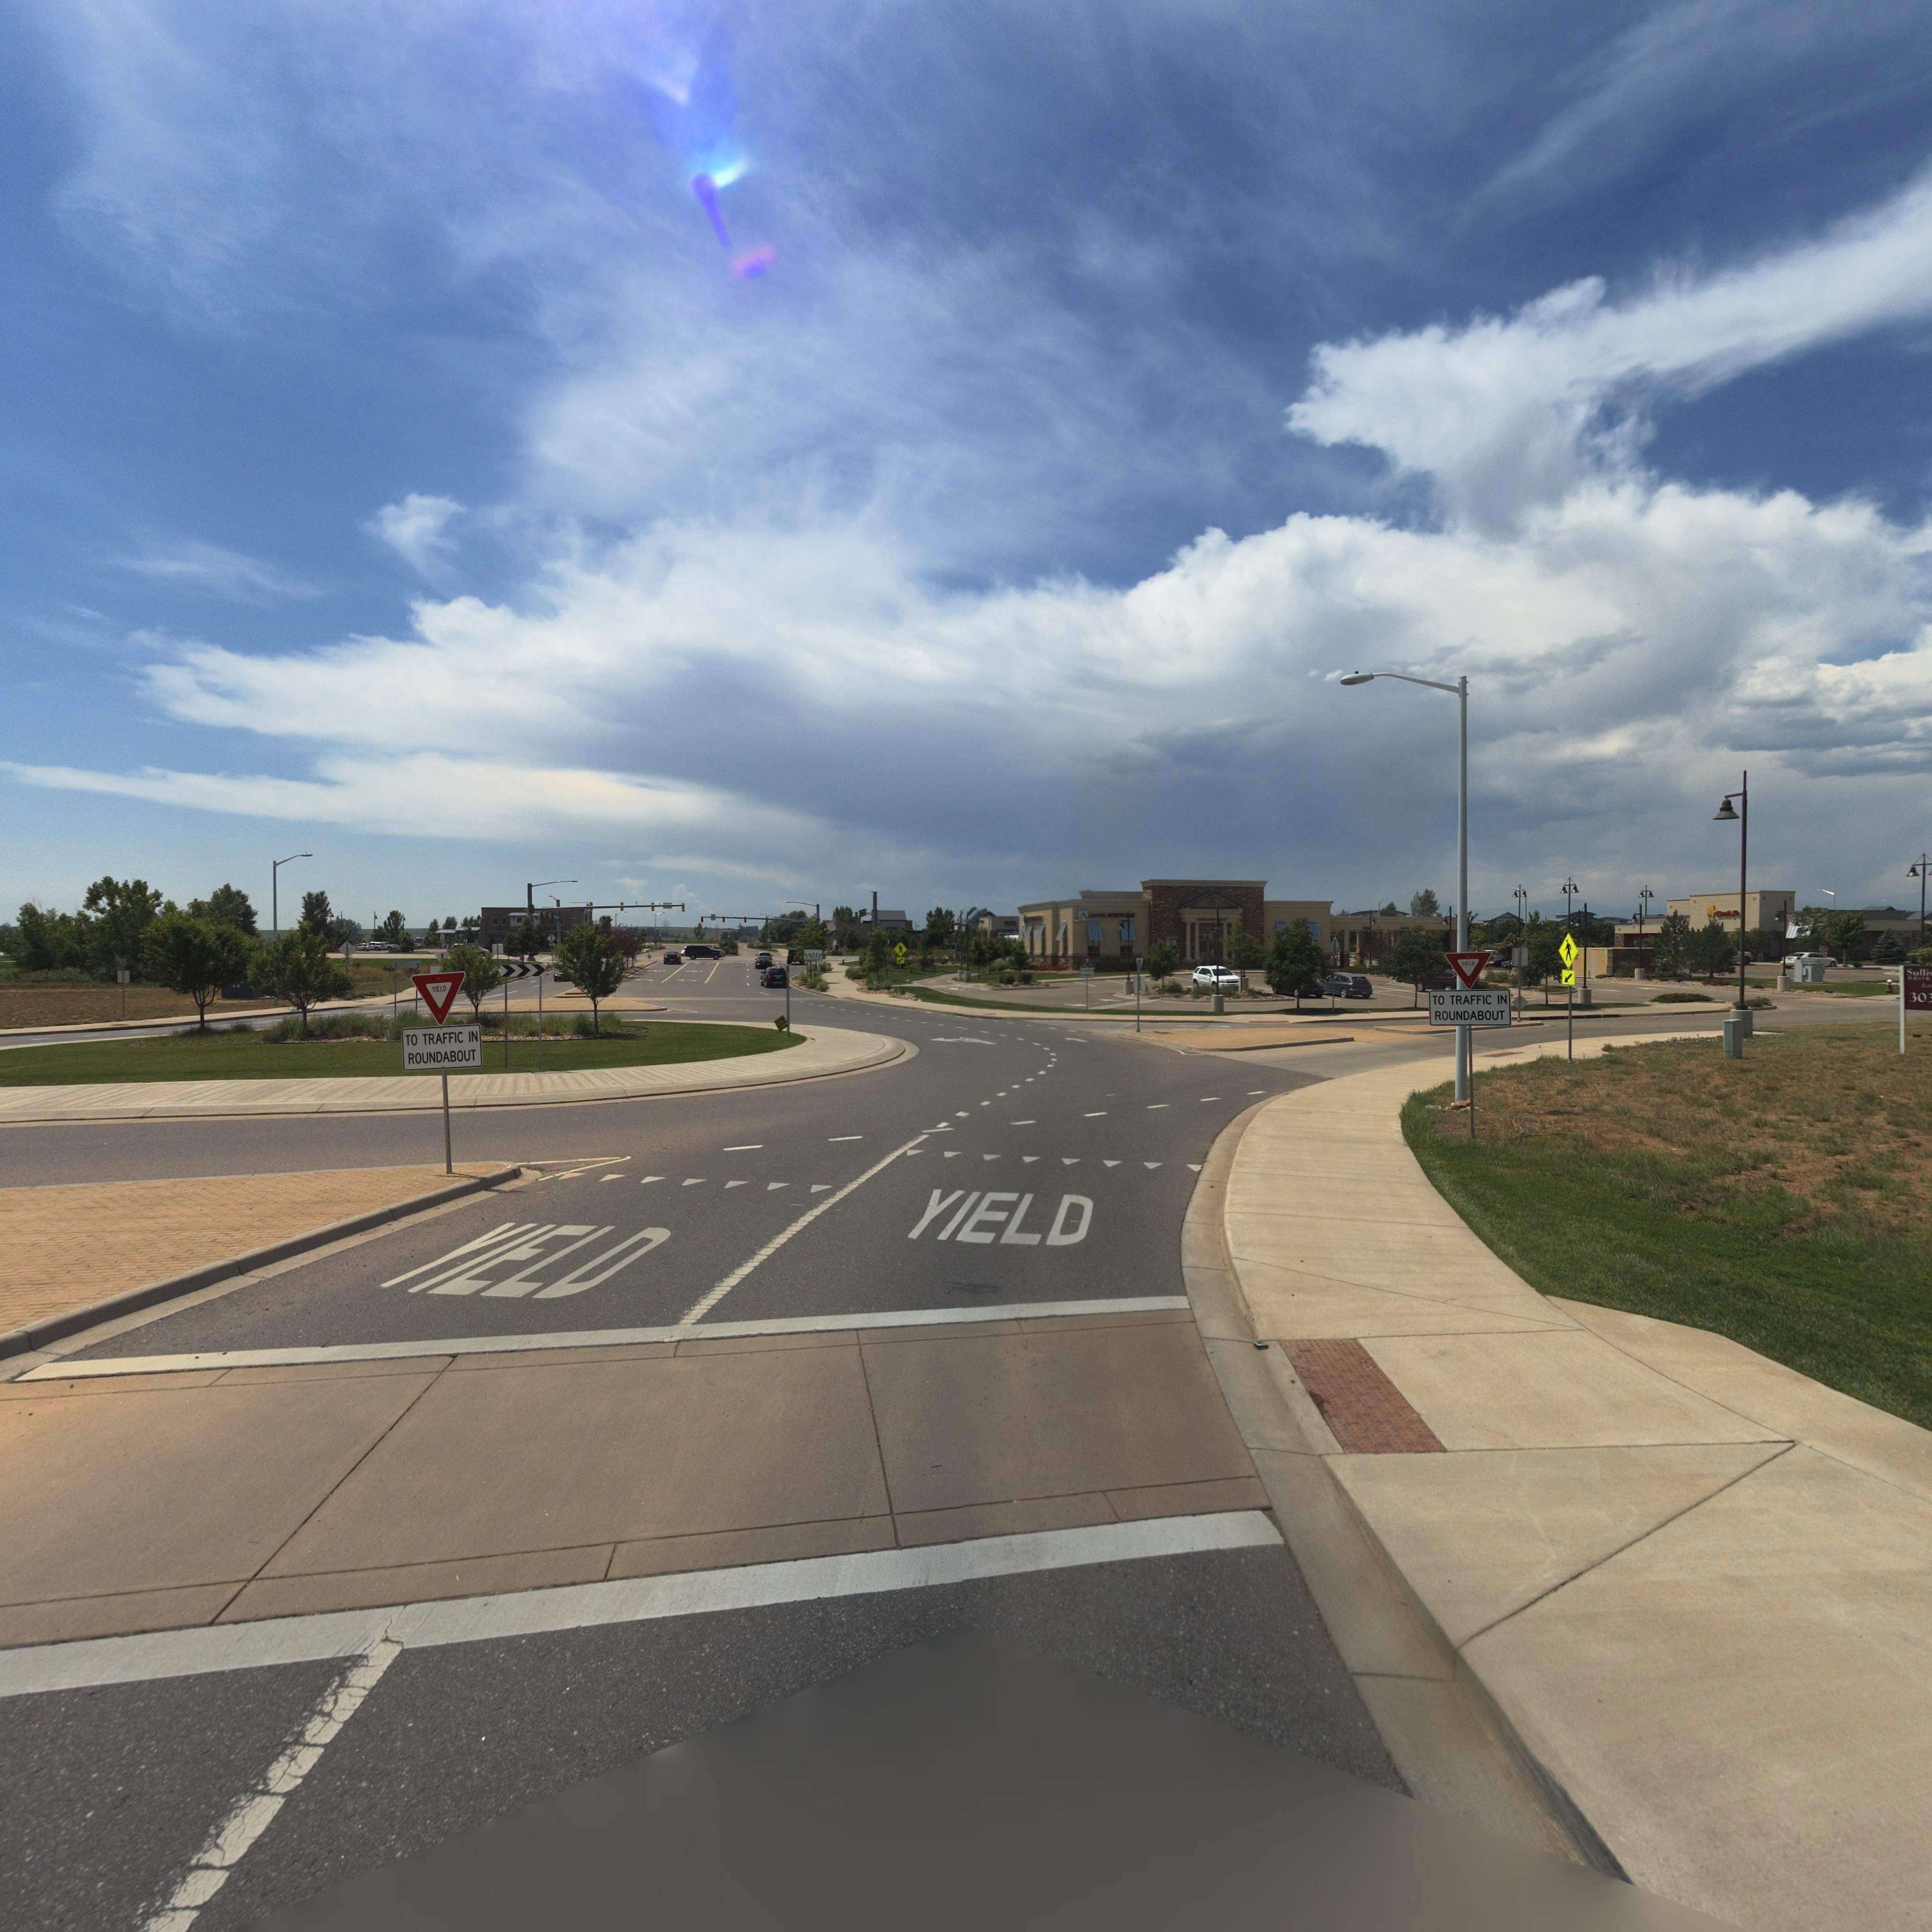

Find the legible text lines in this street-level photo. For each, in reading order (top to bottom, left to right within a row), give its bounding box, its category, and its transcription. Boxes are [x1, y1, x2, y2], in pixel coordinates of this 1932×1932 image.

[1087, 912, 1135, 918] BusinessName: ADAMS MORTG**E
[1715, 909, 1740, 917] BusinessName: Carl's Jr
[1196, 918, 1228, 921] BusinessName: ADAMS BANK * **UST